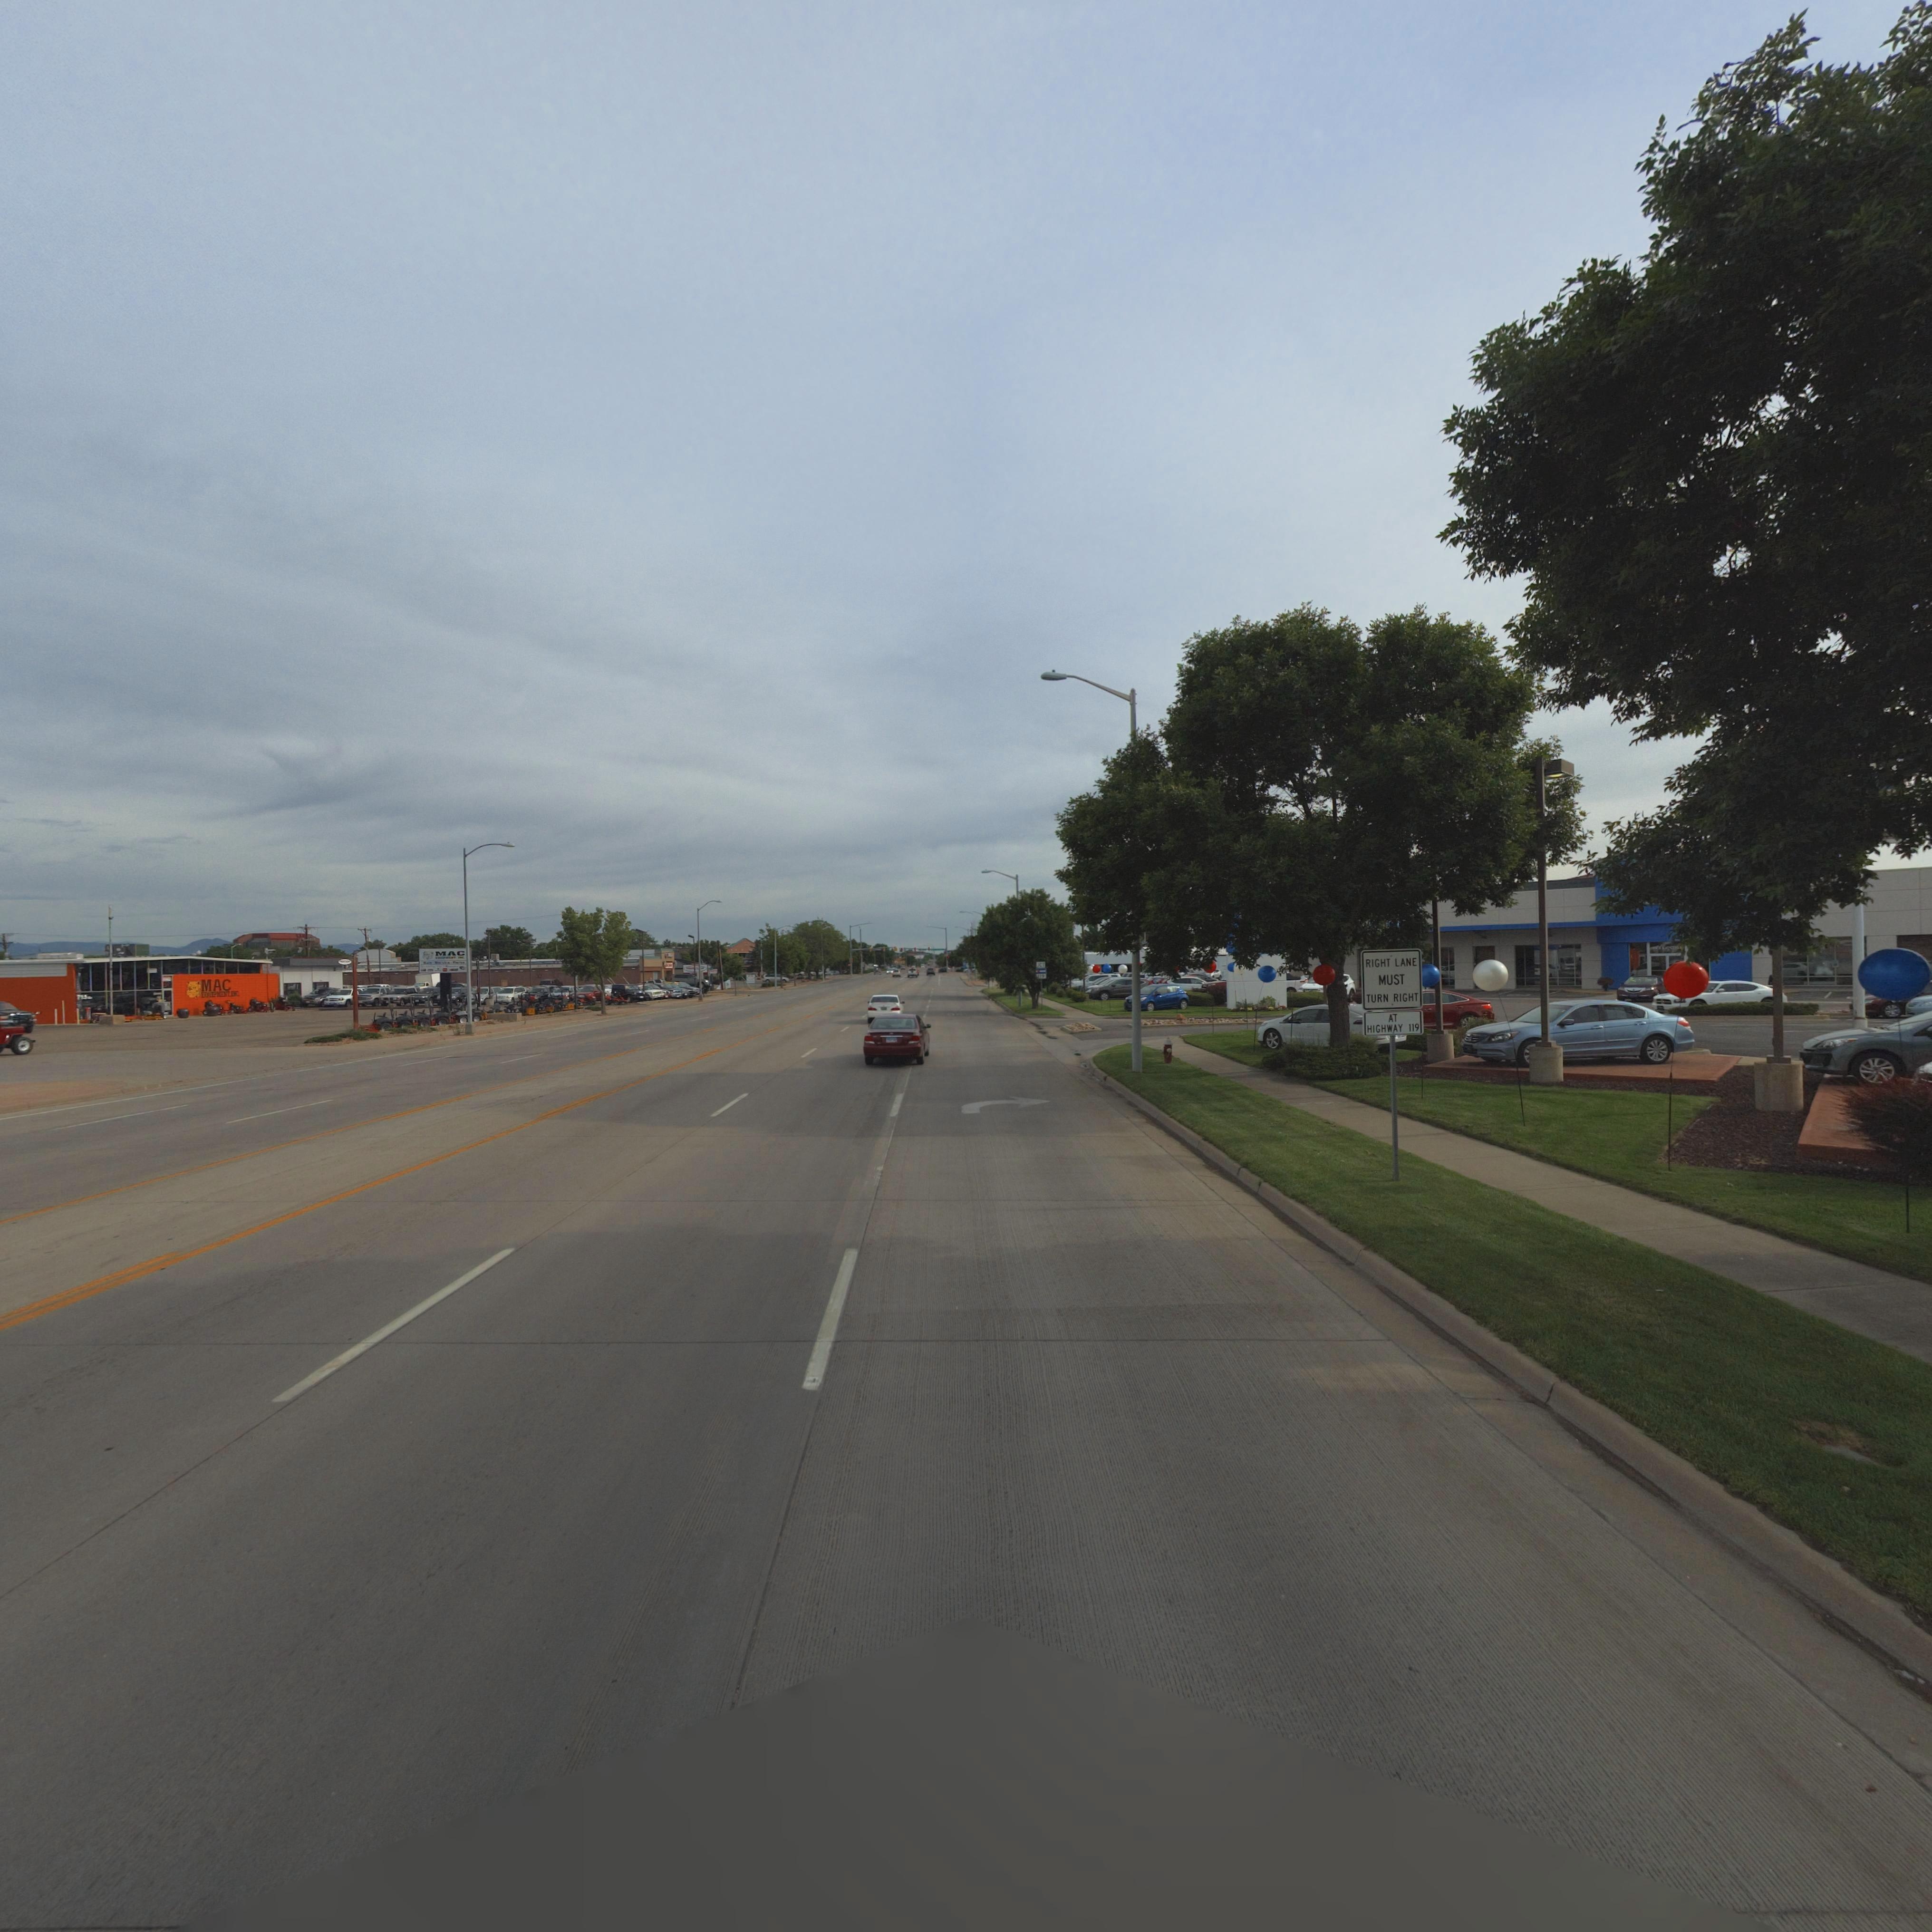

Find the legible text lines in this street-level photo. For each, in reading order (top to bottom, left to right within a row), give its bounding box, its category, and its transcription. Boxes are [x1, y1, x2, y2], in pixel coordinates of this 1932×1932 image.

[435, 950, 464, 956] BusinessName: MAC
[435, 956, 464, 959] BusinessName: E******** INC.
[201, 978, 231, 992] BusinessName: MAC
[76, 994, 87, 1000] StreetNumber: 7*5
[201, 990, 240, 998] BusinessName: EQUIPMENT INC.